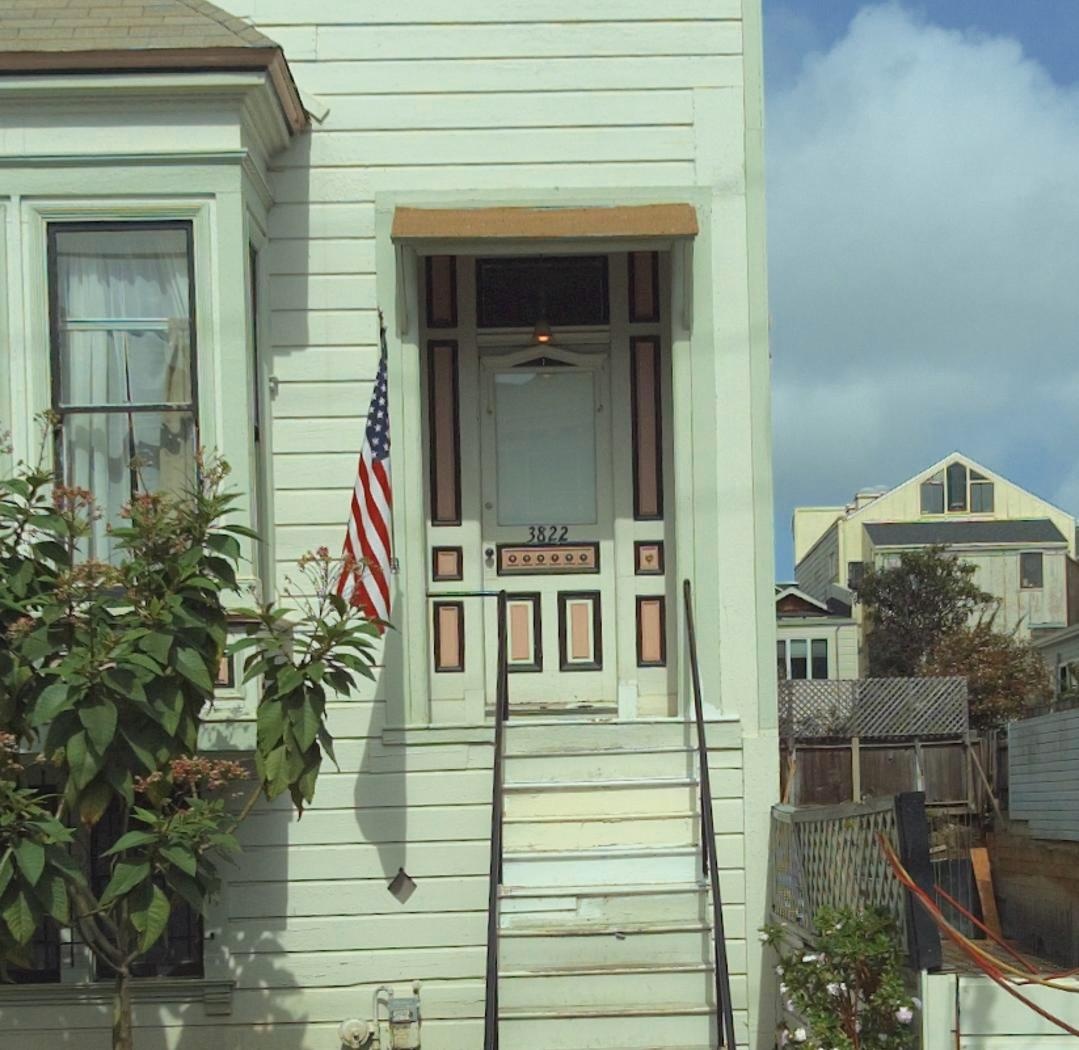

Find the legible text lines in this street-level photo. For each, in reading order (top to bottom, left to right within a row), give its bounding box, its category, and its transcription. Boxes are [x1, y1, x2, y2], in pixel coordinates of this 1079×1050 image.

[525, 524, 572, 544] StreetNumber: 3822